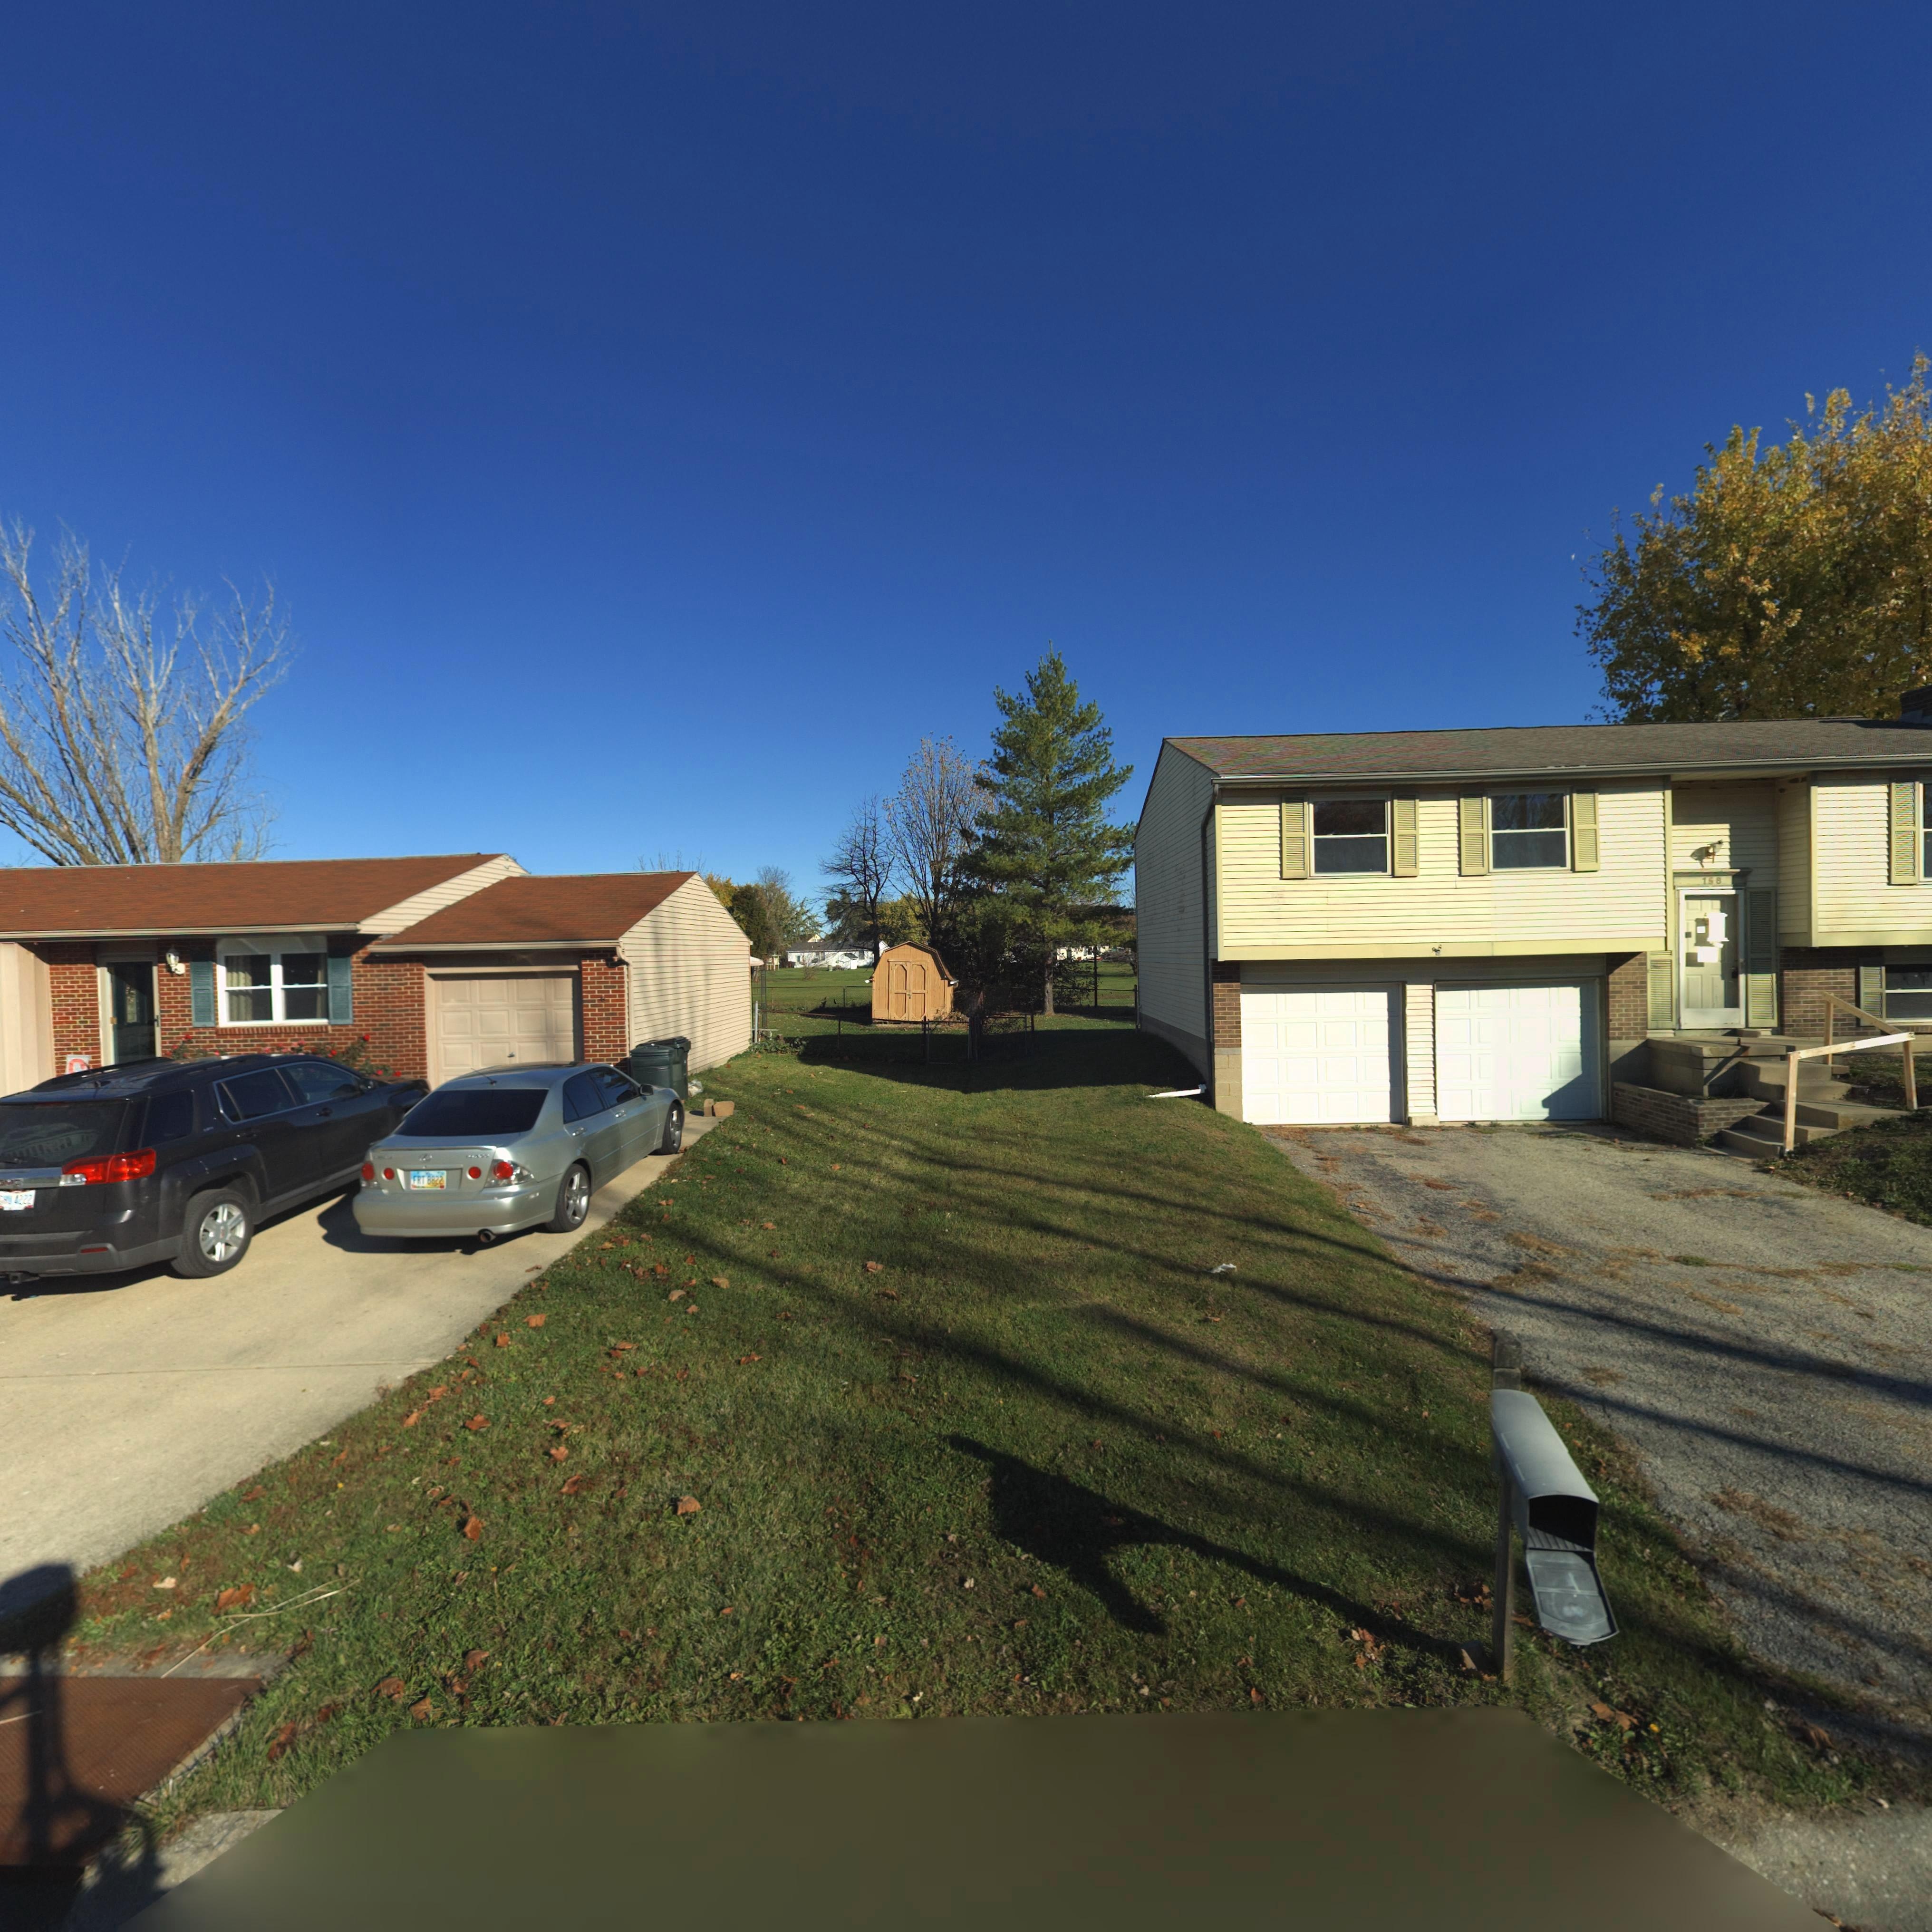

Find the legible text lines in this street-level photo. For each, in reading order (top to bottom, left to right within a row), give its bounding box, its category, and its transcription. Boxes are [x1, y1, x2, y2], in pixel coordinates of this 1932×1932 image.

[1701, 876, 1722, 886] StreetNumber: 158